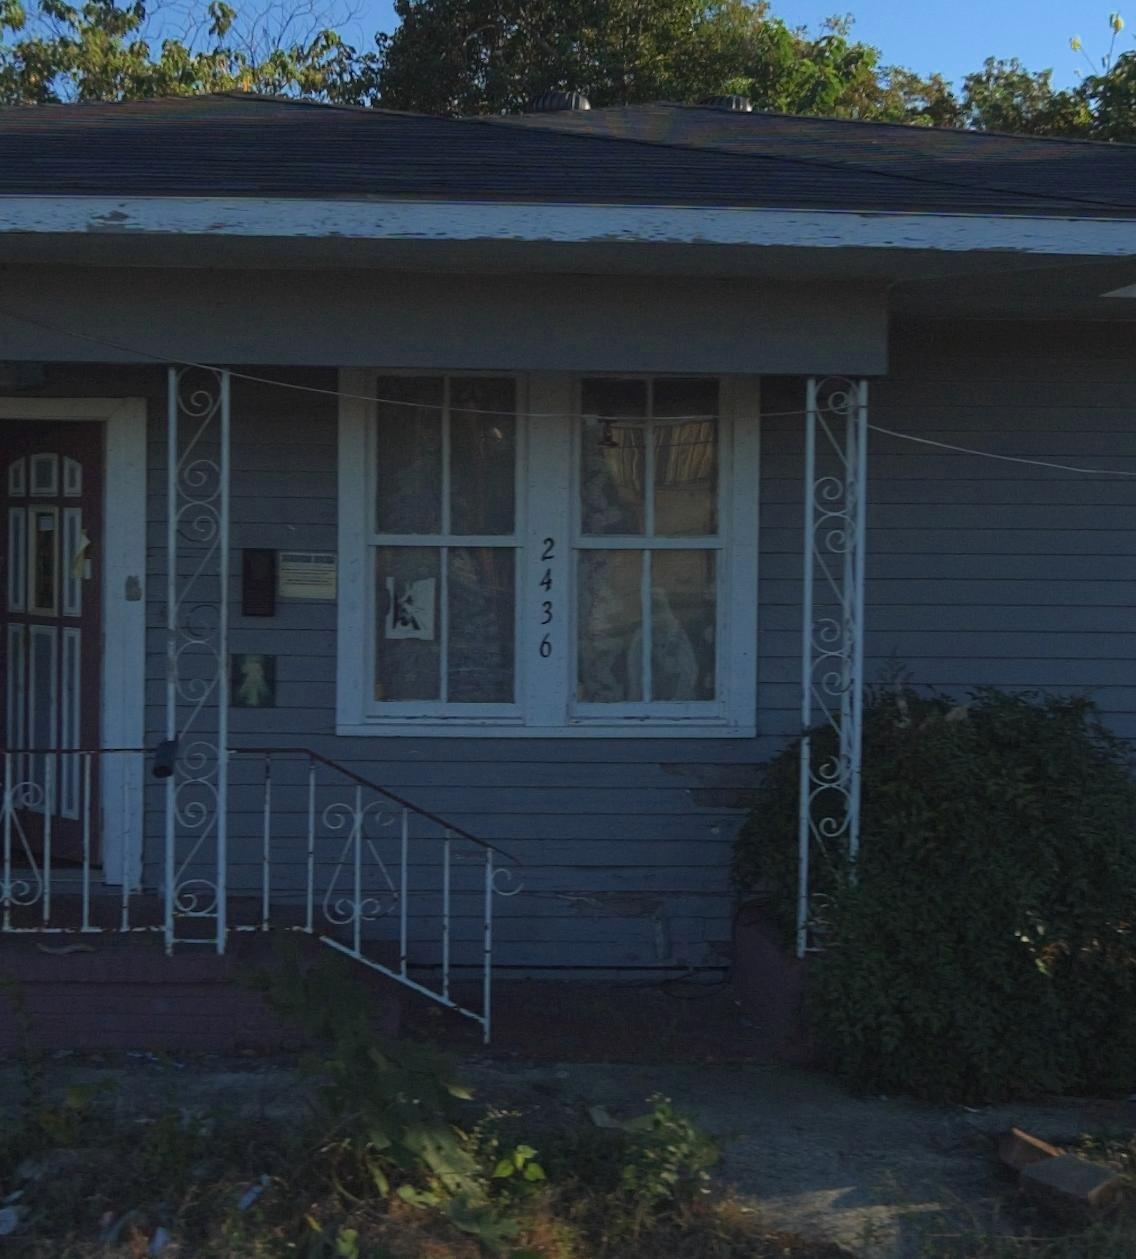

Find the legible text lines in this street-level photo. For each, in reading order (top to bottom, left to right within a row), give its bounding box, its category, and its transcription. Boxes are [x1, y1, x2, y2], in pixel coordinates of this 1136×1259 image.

[535, 531, 557, 662] StreetNumber: 2436